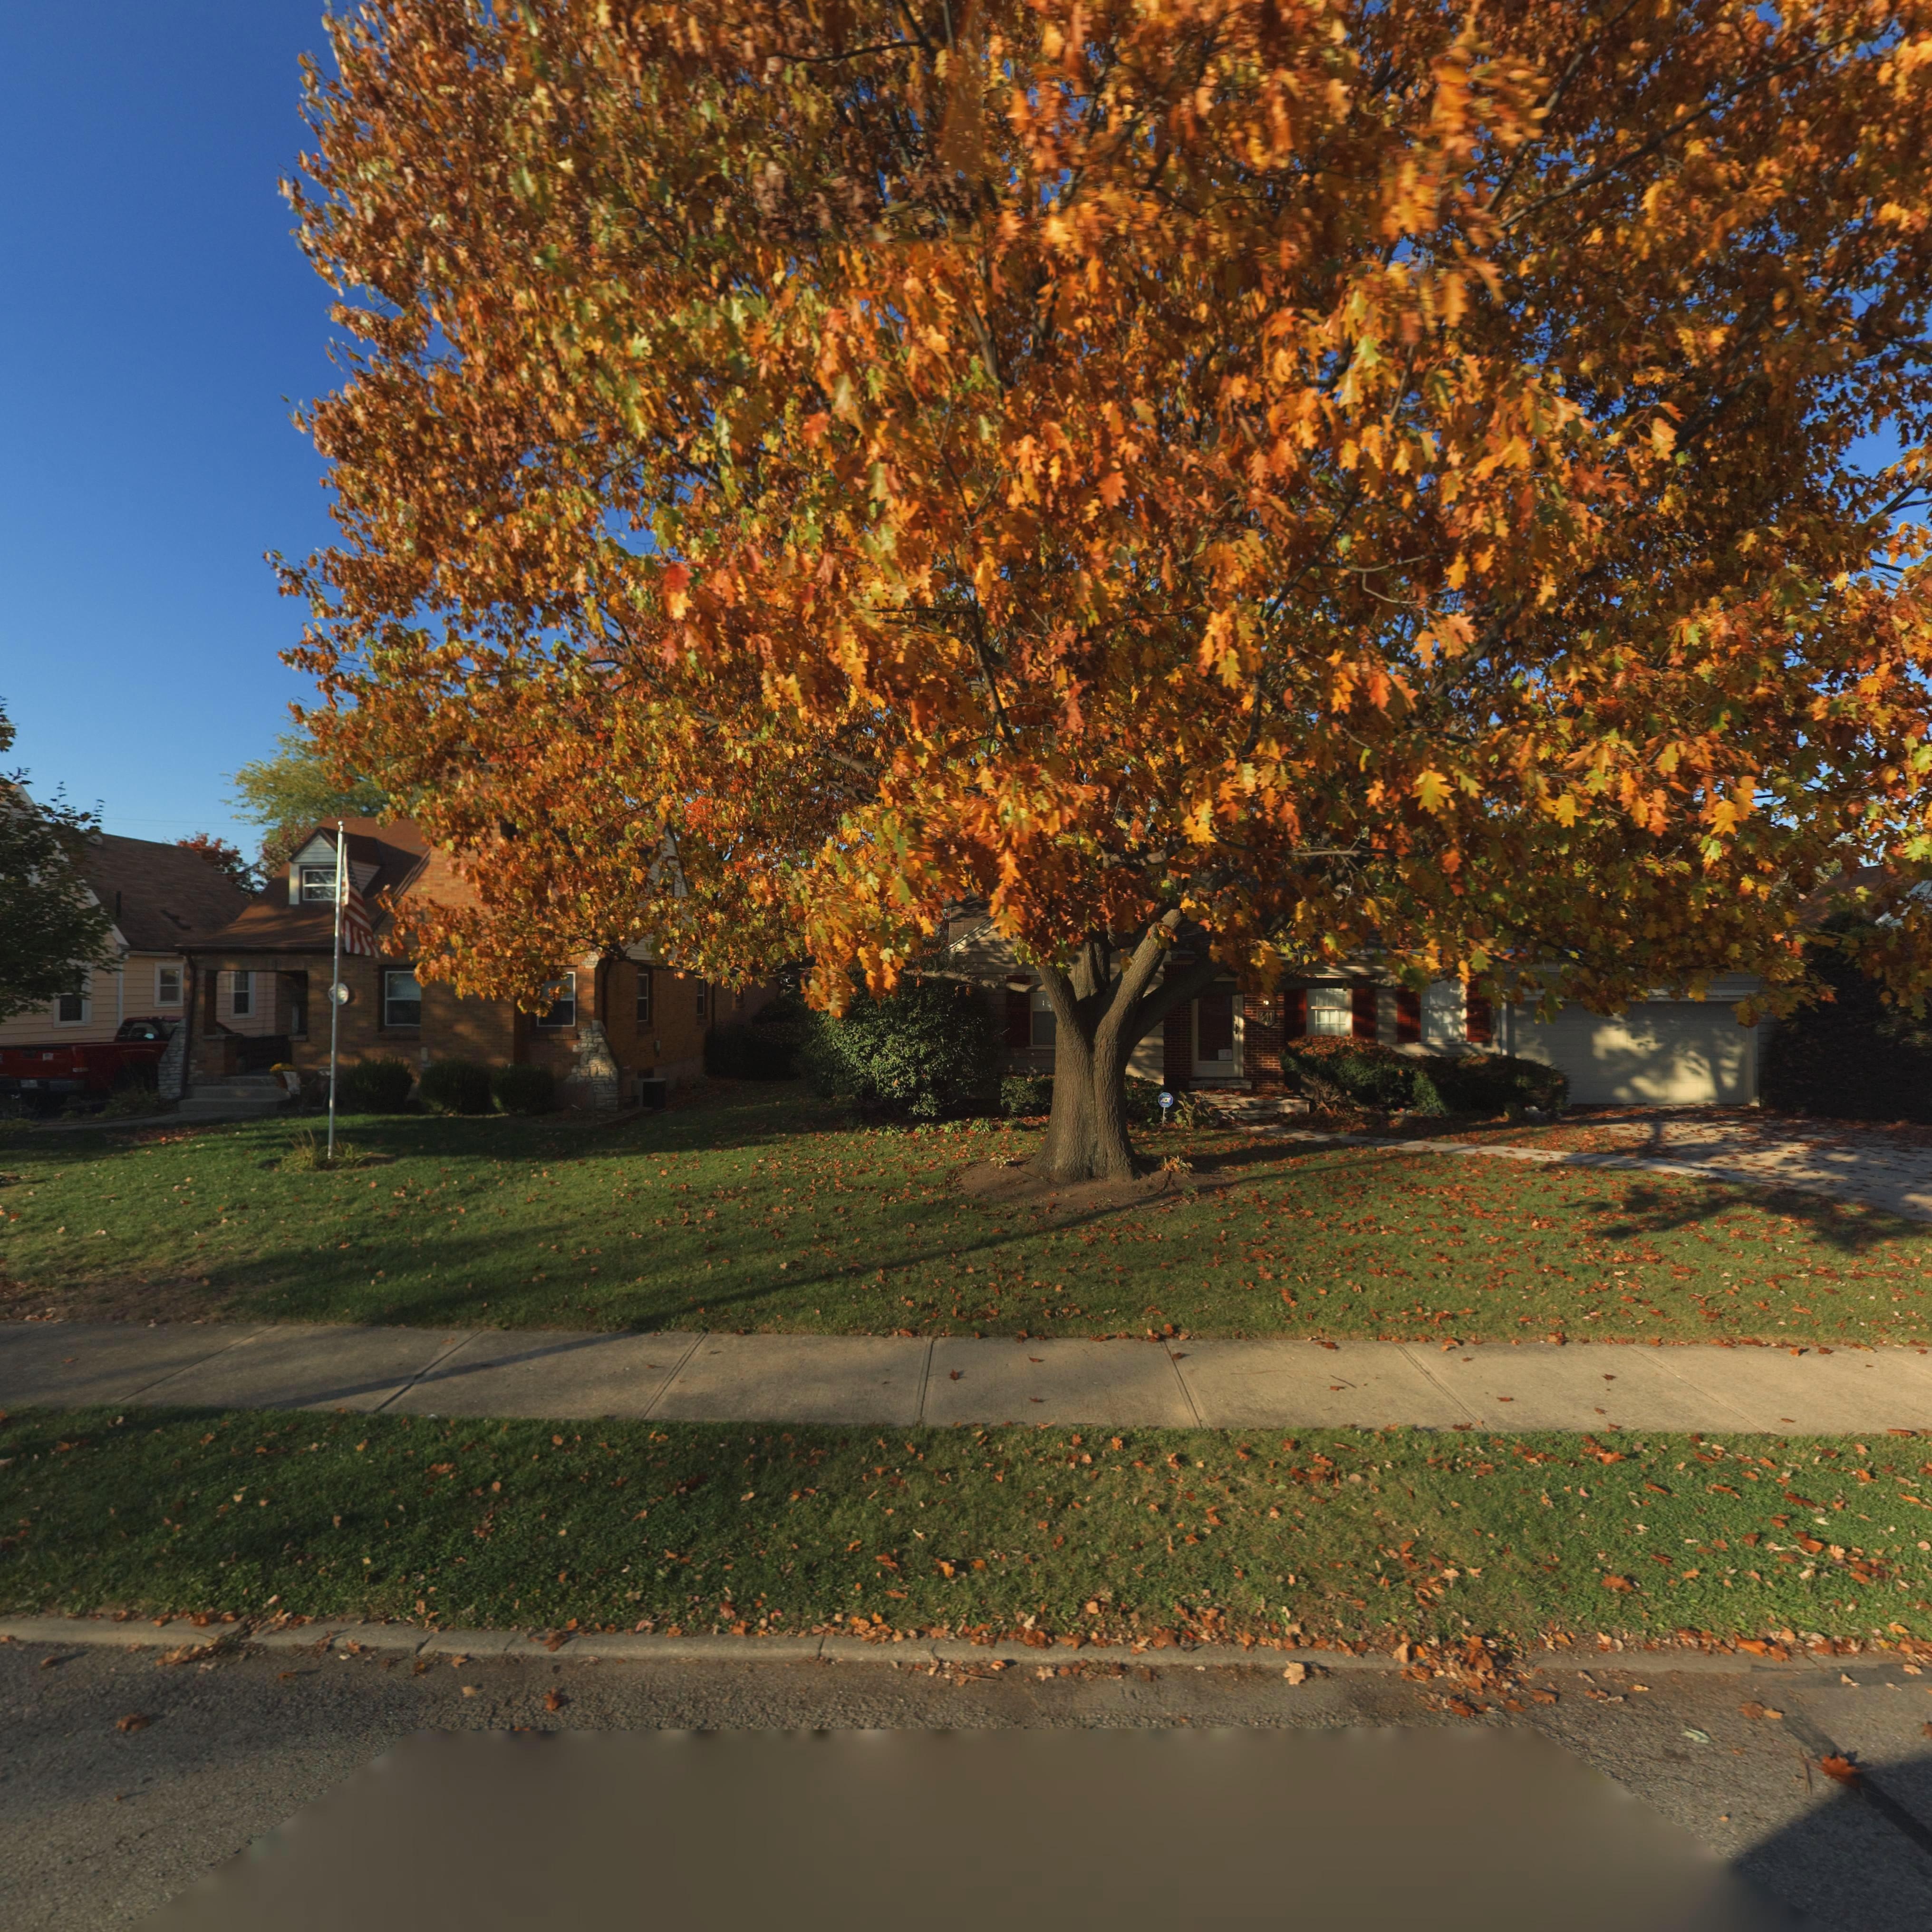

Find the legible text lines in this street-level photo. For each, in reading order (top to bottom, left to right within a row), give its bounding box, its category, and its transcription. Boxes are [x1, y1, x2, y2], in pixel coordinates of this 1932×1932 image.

[1258, 1011, 1273, 1022] StreetNumber: 341